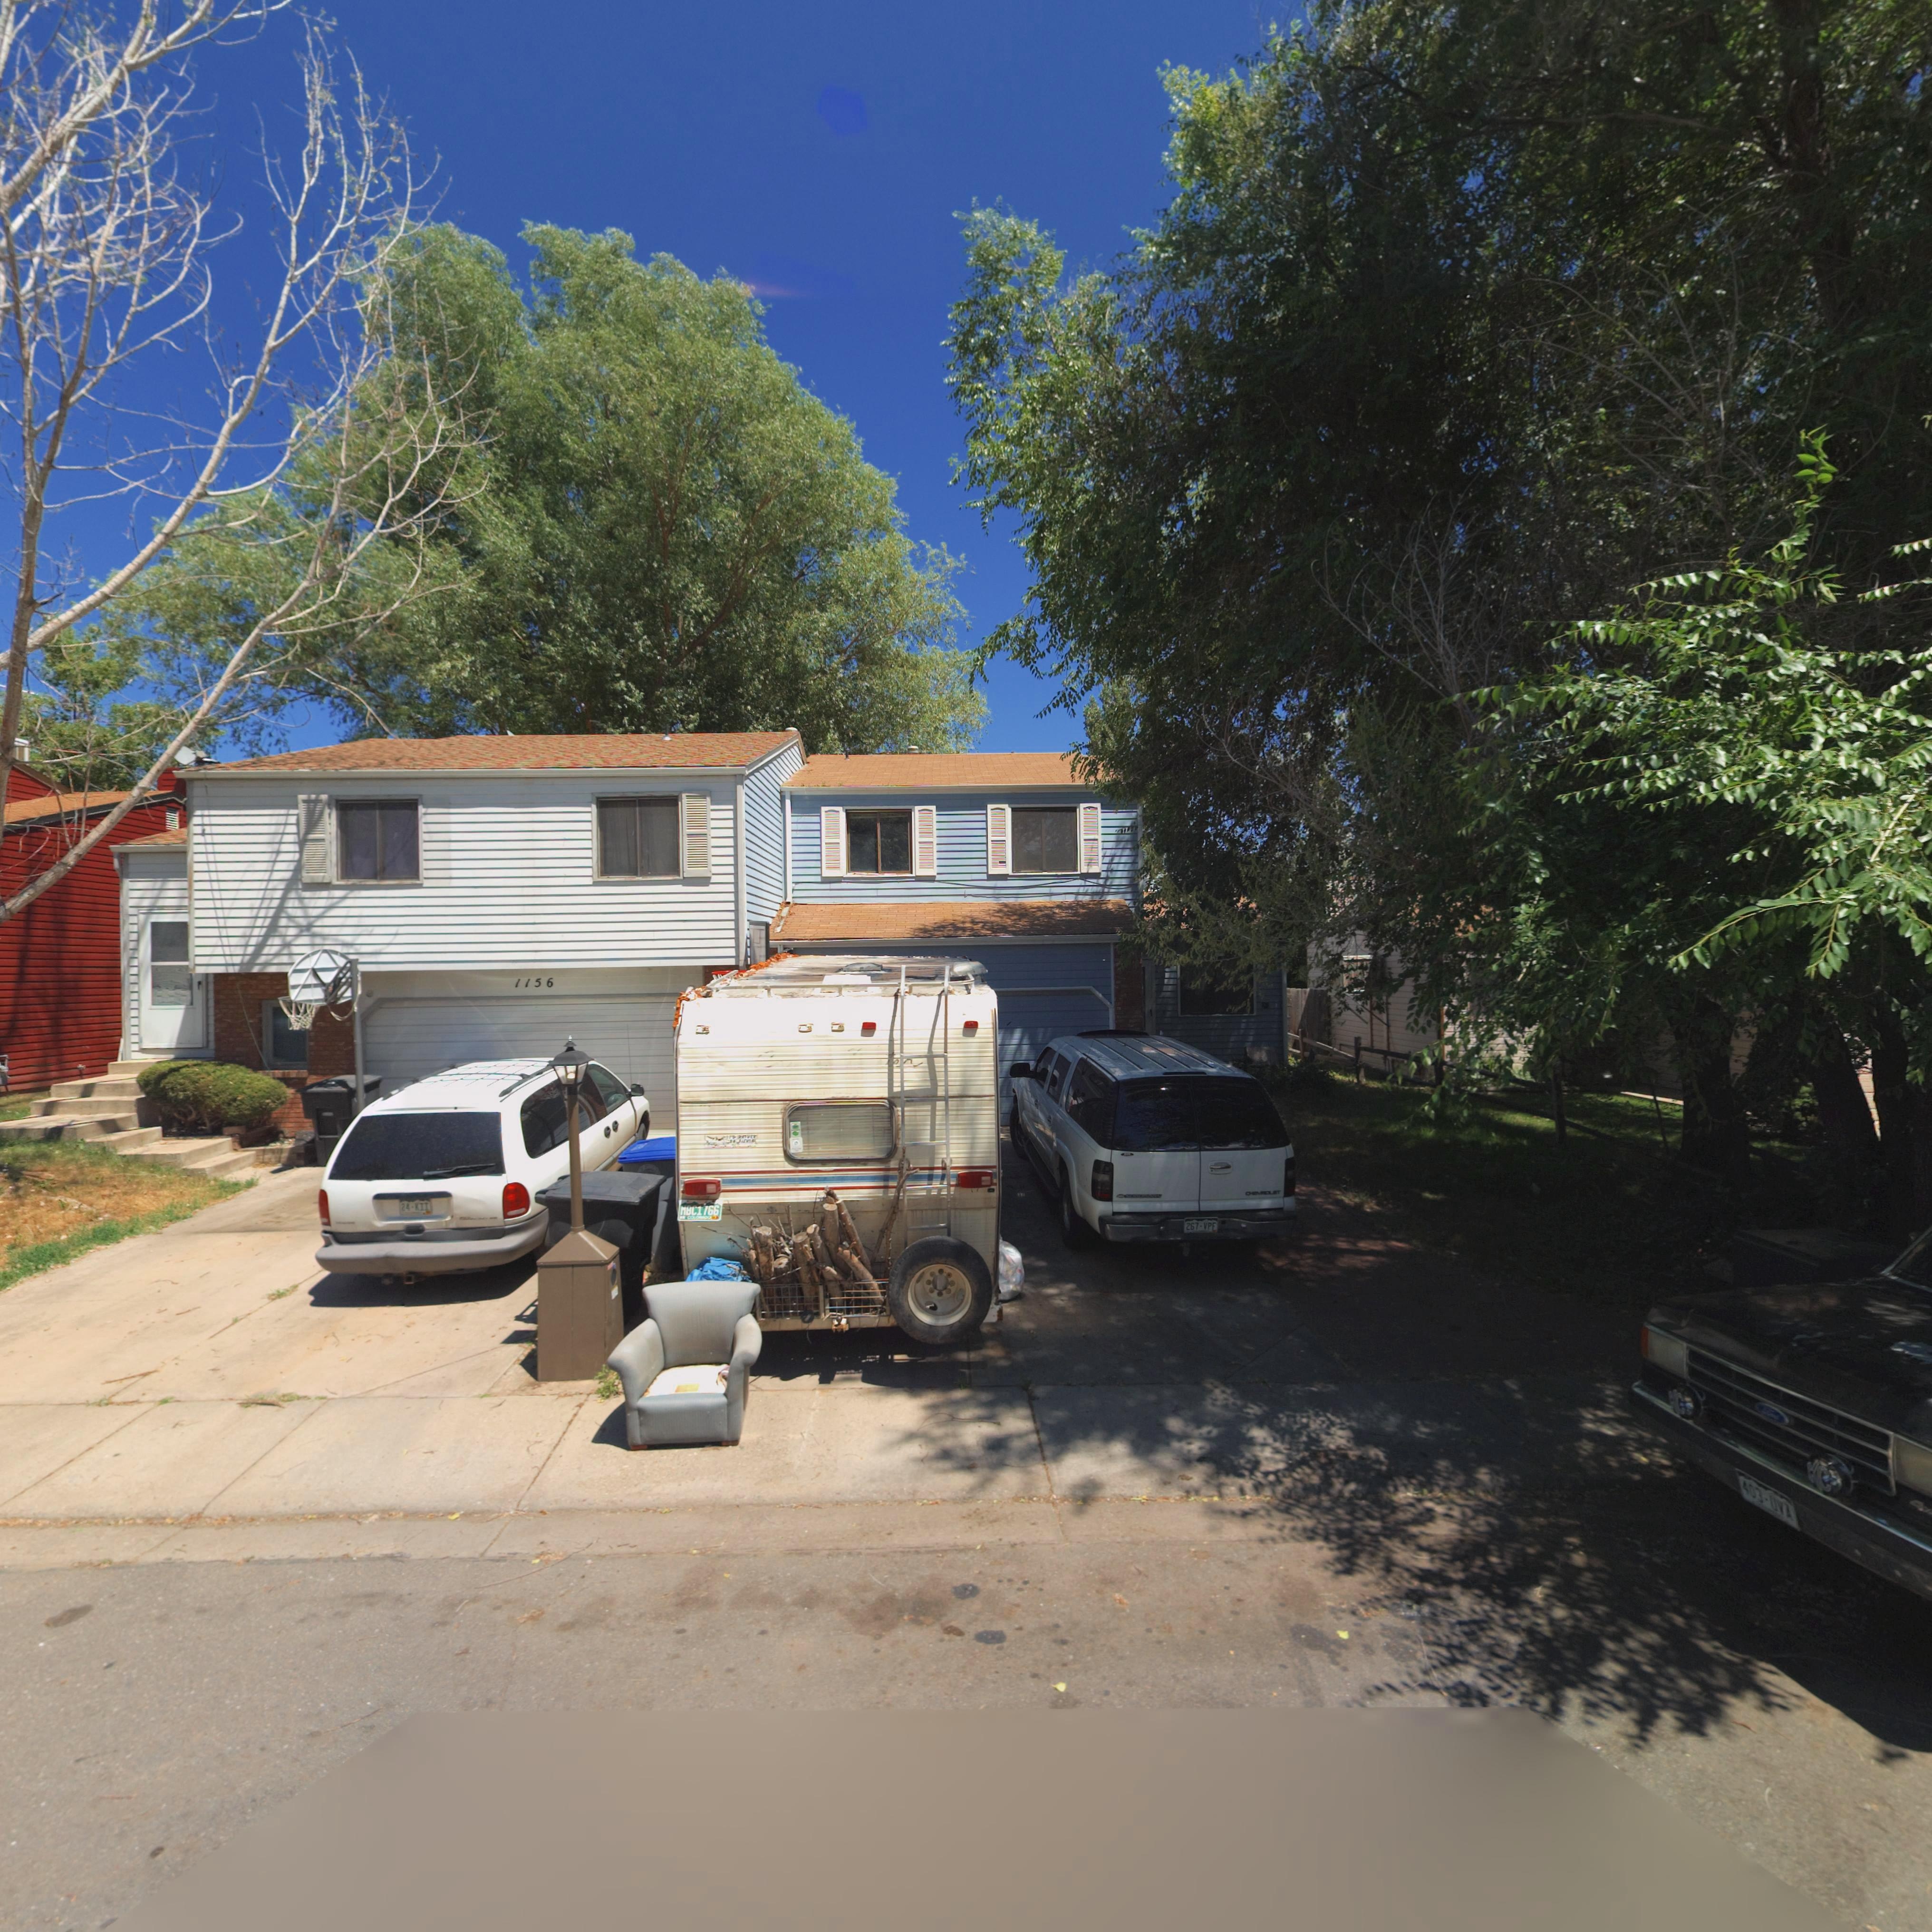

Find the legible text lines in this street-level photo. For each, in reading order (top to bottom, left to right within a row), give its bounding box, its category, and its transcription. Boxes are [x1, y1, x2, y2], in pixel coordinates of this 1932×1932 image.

[513, 976, 554, 988] StreetNumber: 1156